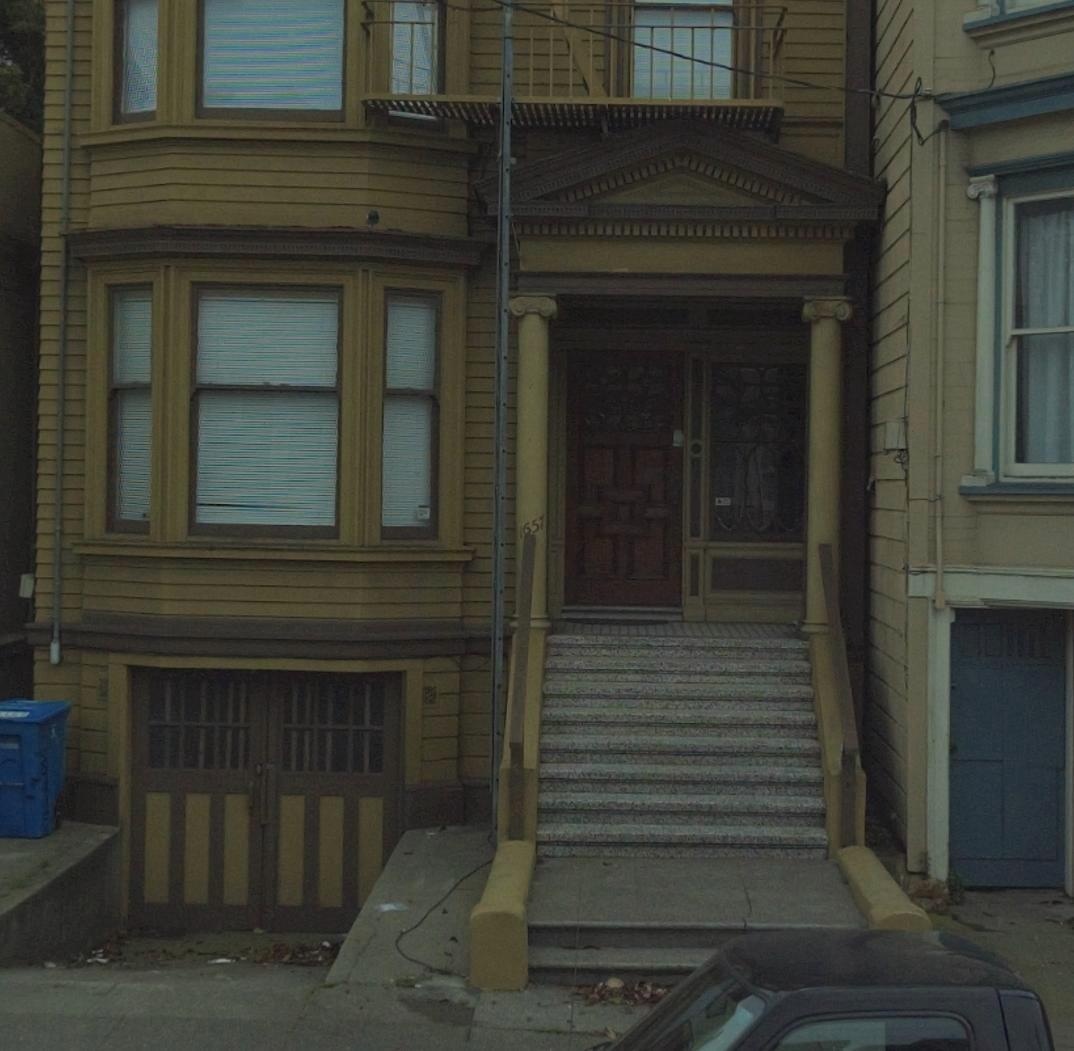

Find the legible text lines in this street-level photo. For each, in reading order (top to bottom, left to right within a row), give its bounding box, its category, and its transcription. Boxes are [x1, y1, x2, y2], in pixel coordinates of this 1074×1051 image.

[518, 512, 546, 542] StreetNumber: 1657